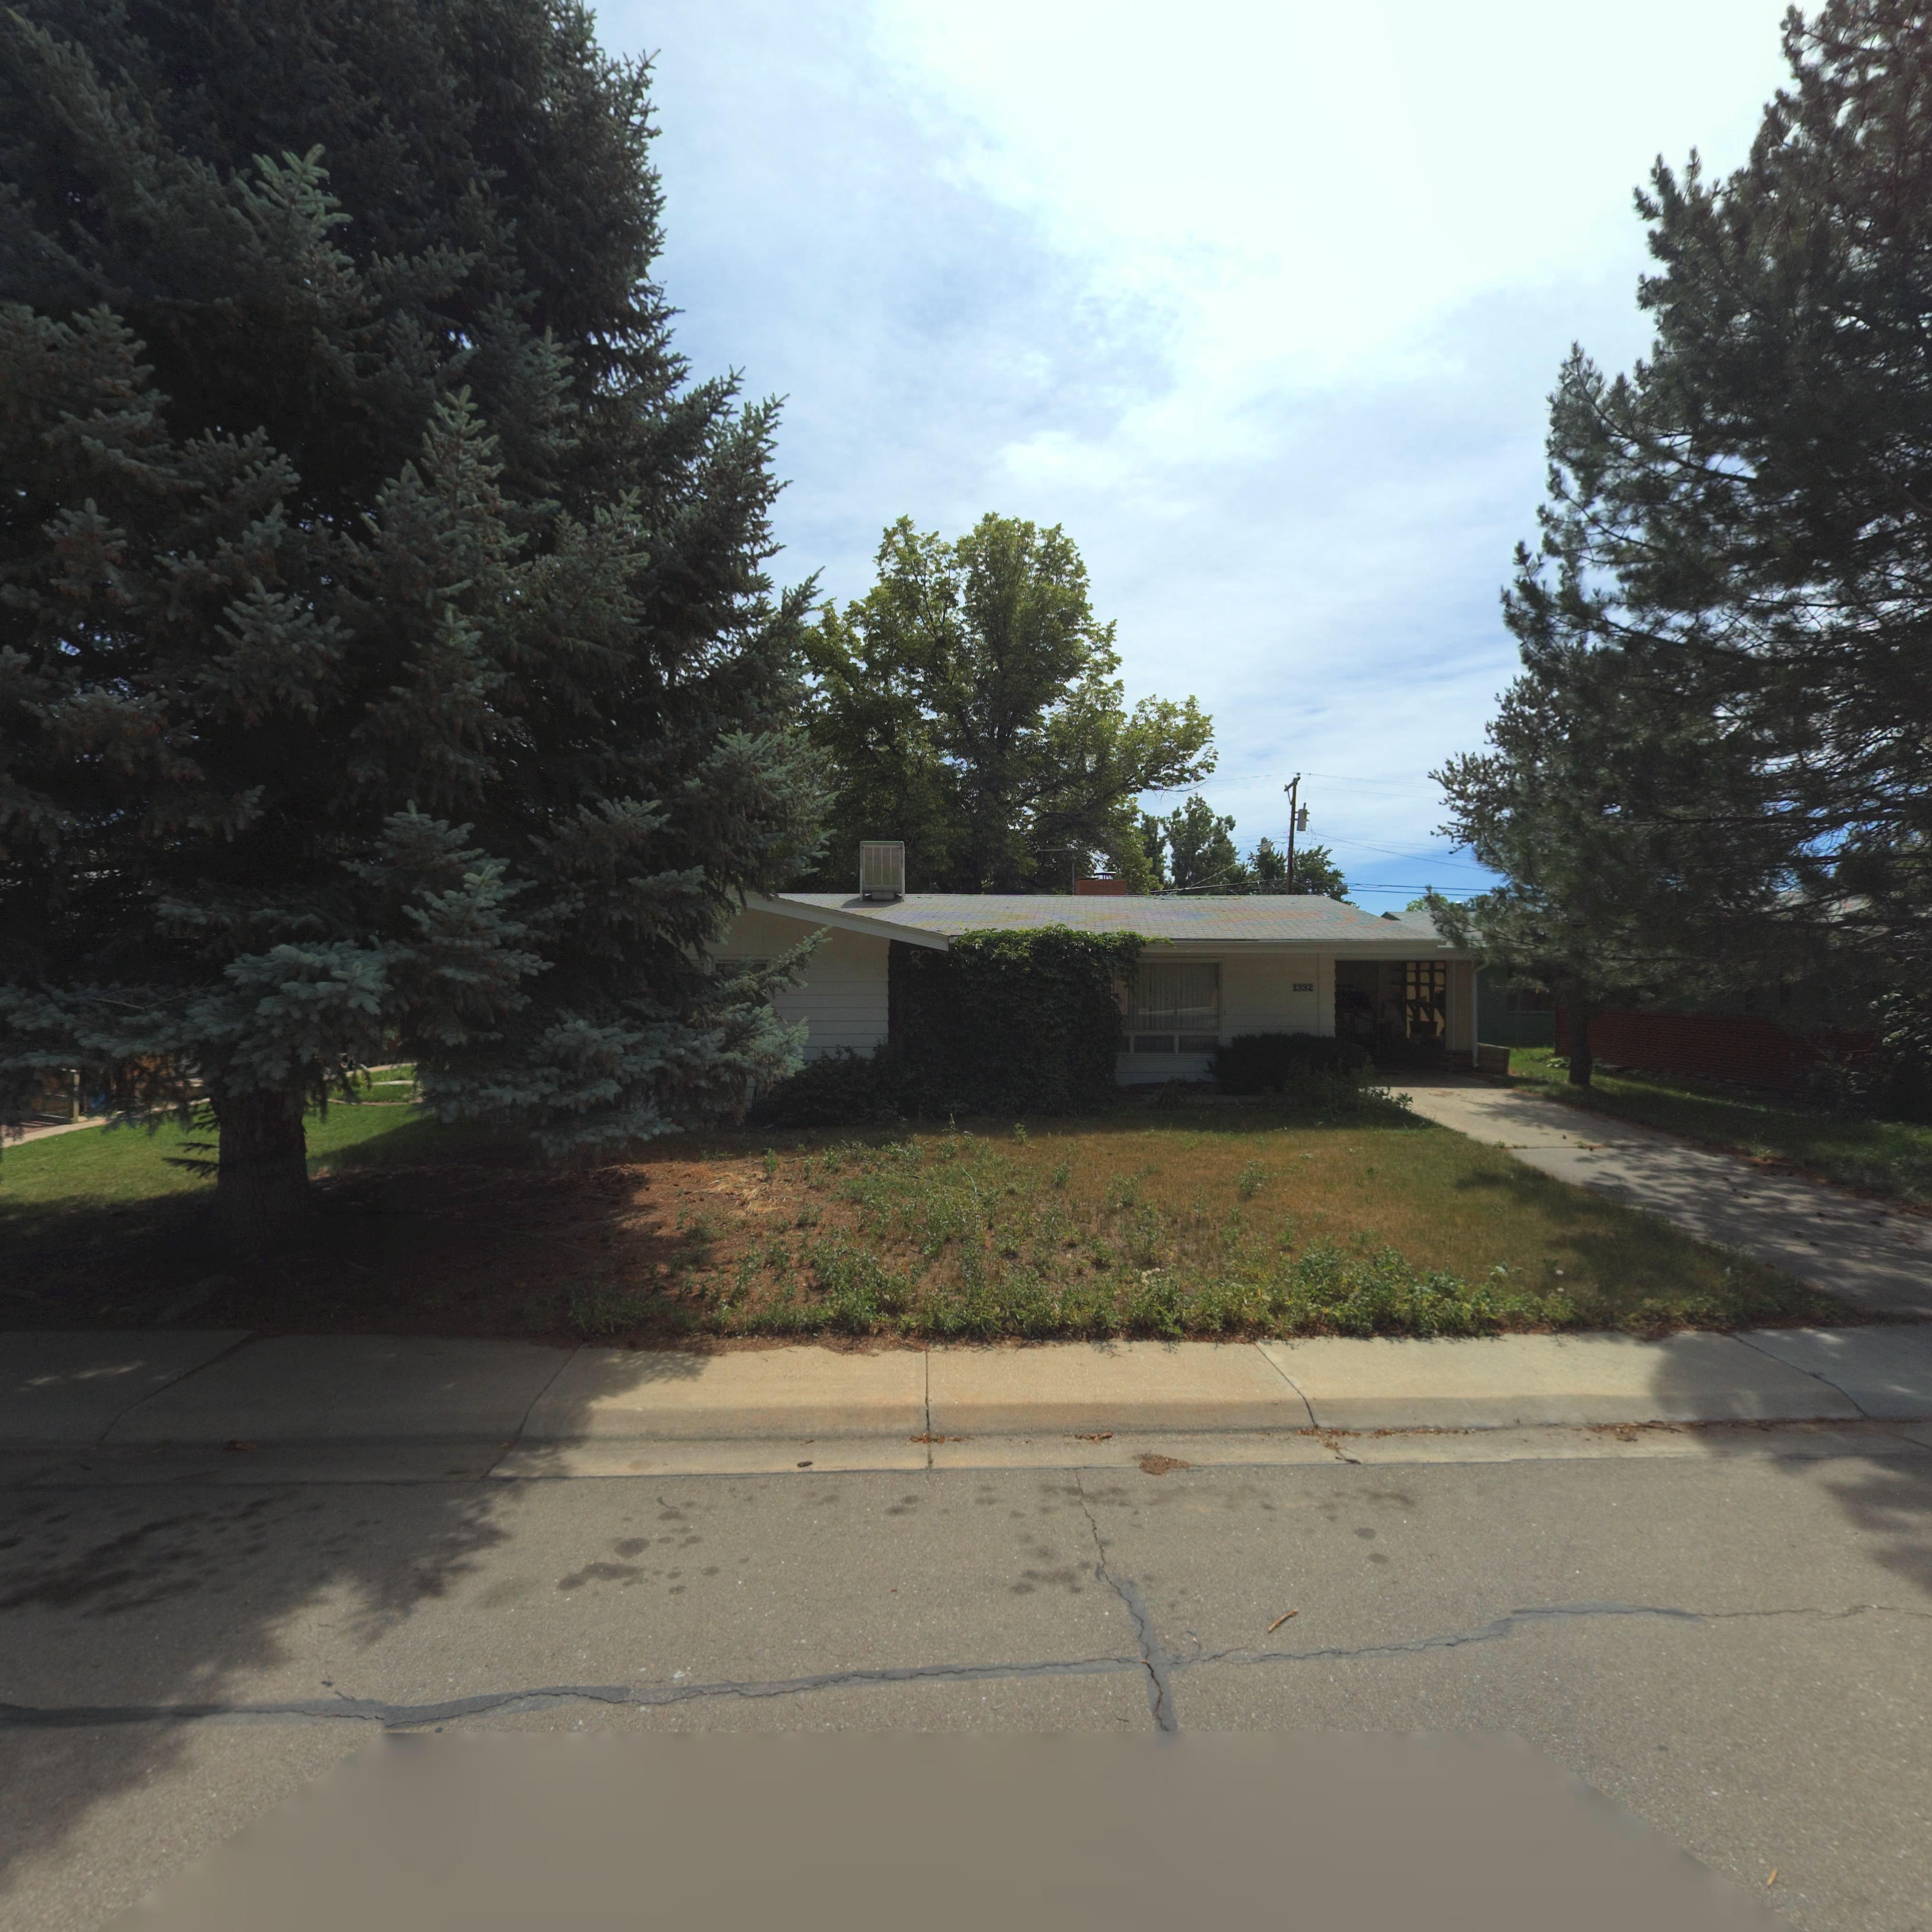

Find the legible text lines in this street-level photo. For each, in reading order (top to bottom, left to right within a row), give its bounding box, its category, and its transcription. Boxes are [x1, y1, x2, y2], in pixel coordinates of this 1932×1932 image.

[1293, 984, 1313, 991] StreetNumber: 1332